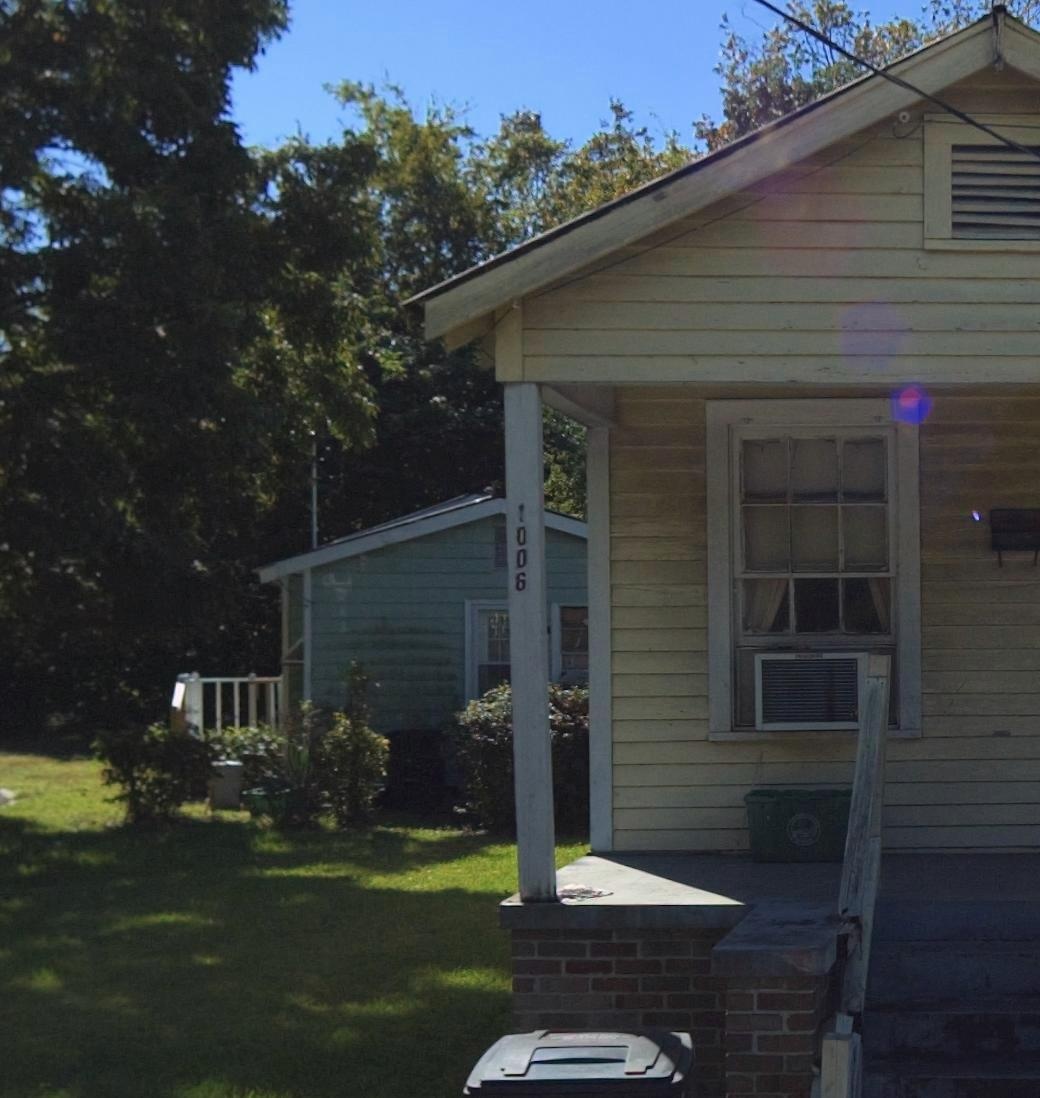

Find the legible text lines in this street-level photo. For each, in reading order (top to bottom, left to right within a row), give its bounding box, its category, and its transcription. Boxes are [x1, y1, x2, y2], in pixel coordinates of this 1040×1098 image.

[514, 500, 530, 598] StreetNumber: 1006